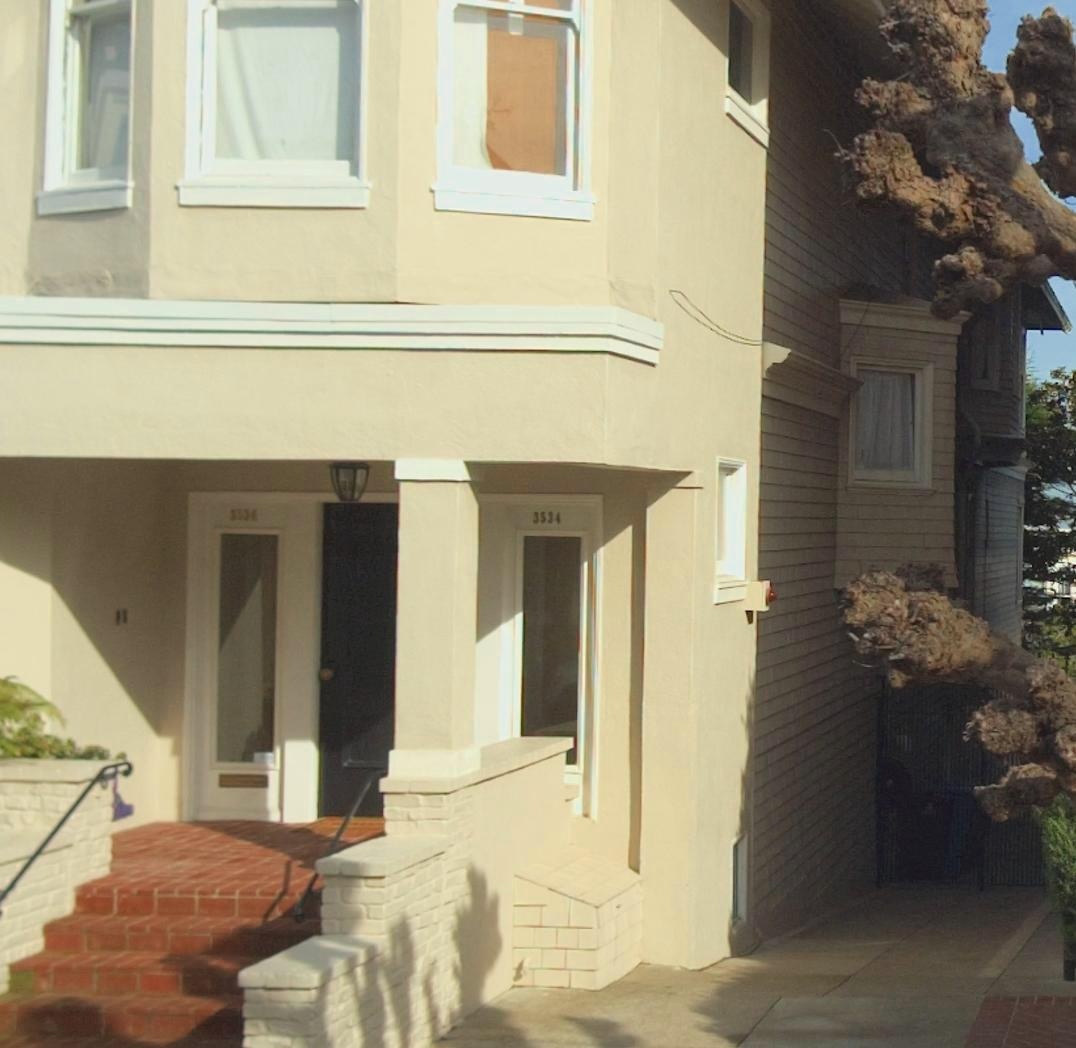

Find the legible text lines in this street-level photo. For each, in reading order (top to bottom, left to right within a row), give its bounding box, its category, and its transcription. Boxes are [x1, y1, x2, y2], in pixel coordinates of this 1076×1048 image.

[228, 505, 258, 524] StreetNumber: 3536
[531, 509, 564, 526] StreetNumber: 3534